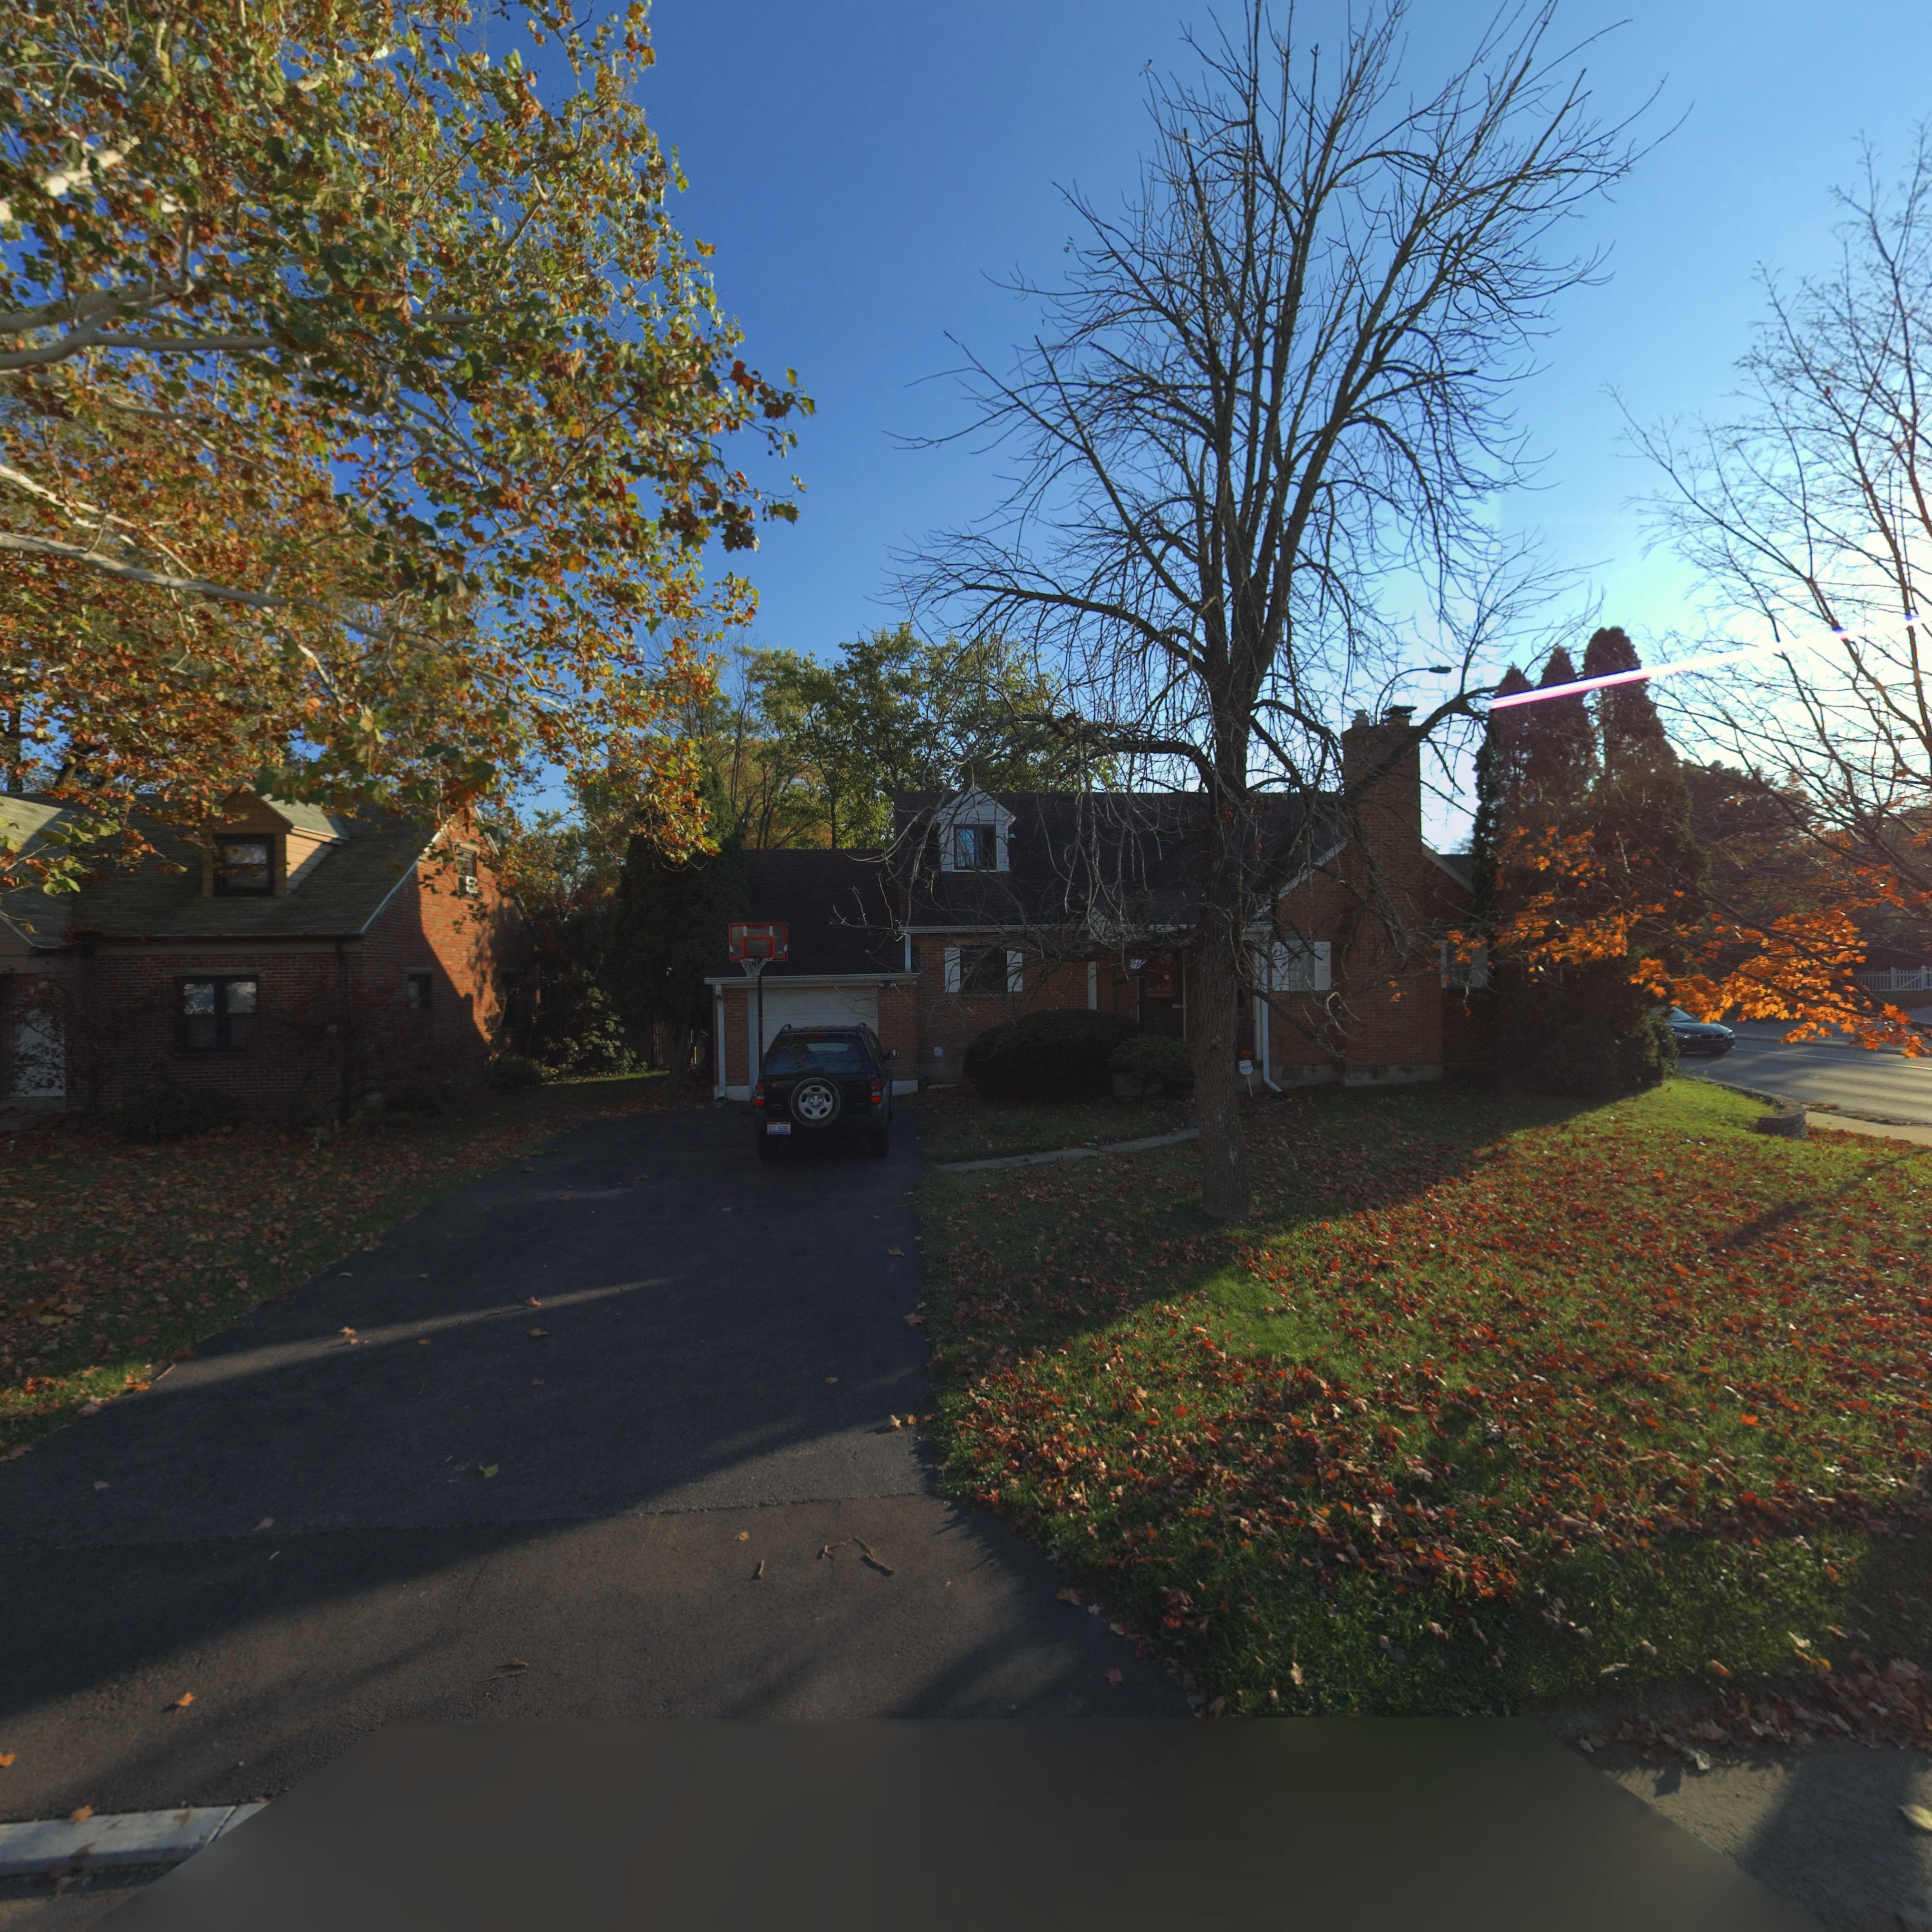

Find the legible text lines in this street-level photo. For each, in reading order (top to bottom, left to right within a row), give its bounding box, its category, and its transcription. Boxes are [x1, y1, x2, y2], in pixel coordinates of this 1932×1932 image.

[1132, 959, 1145, 970] StreetNumber: 50*